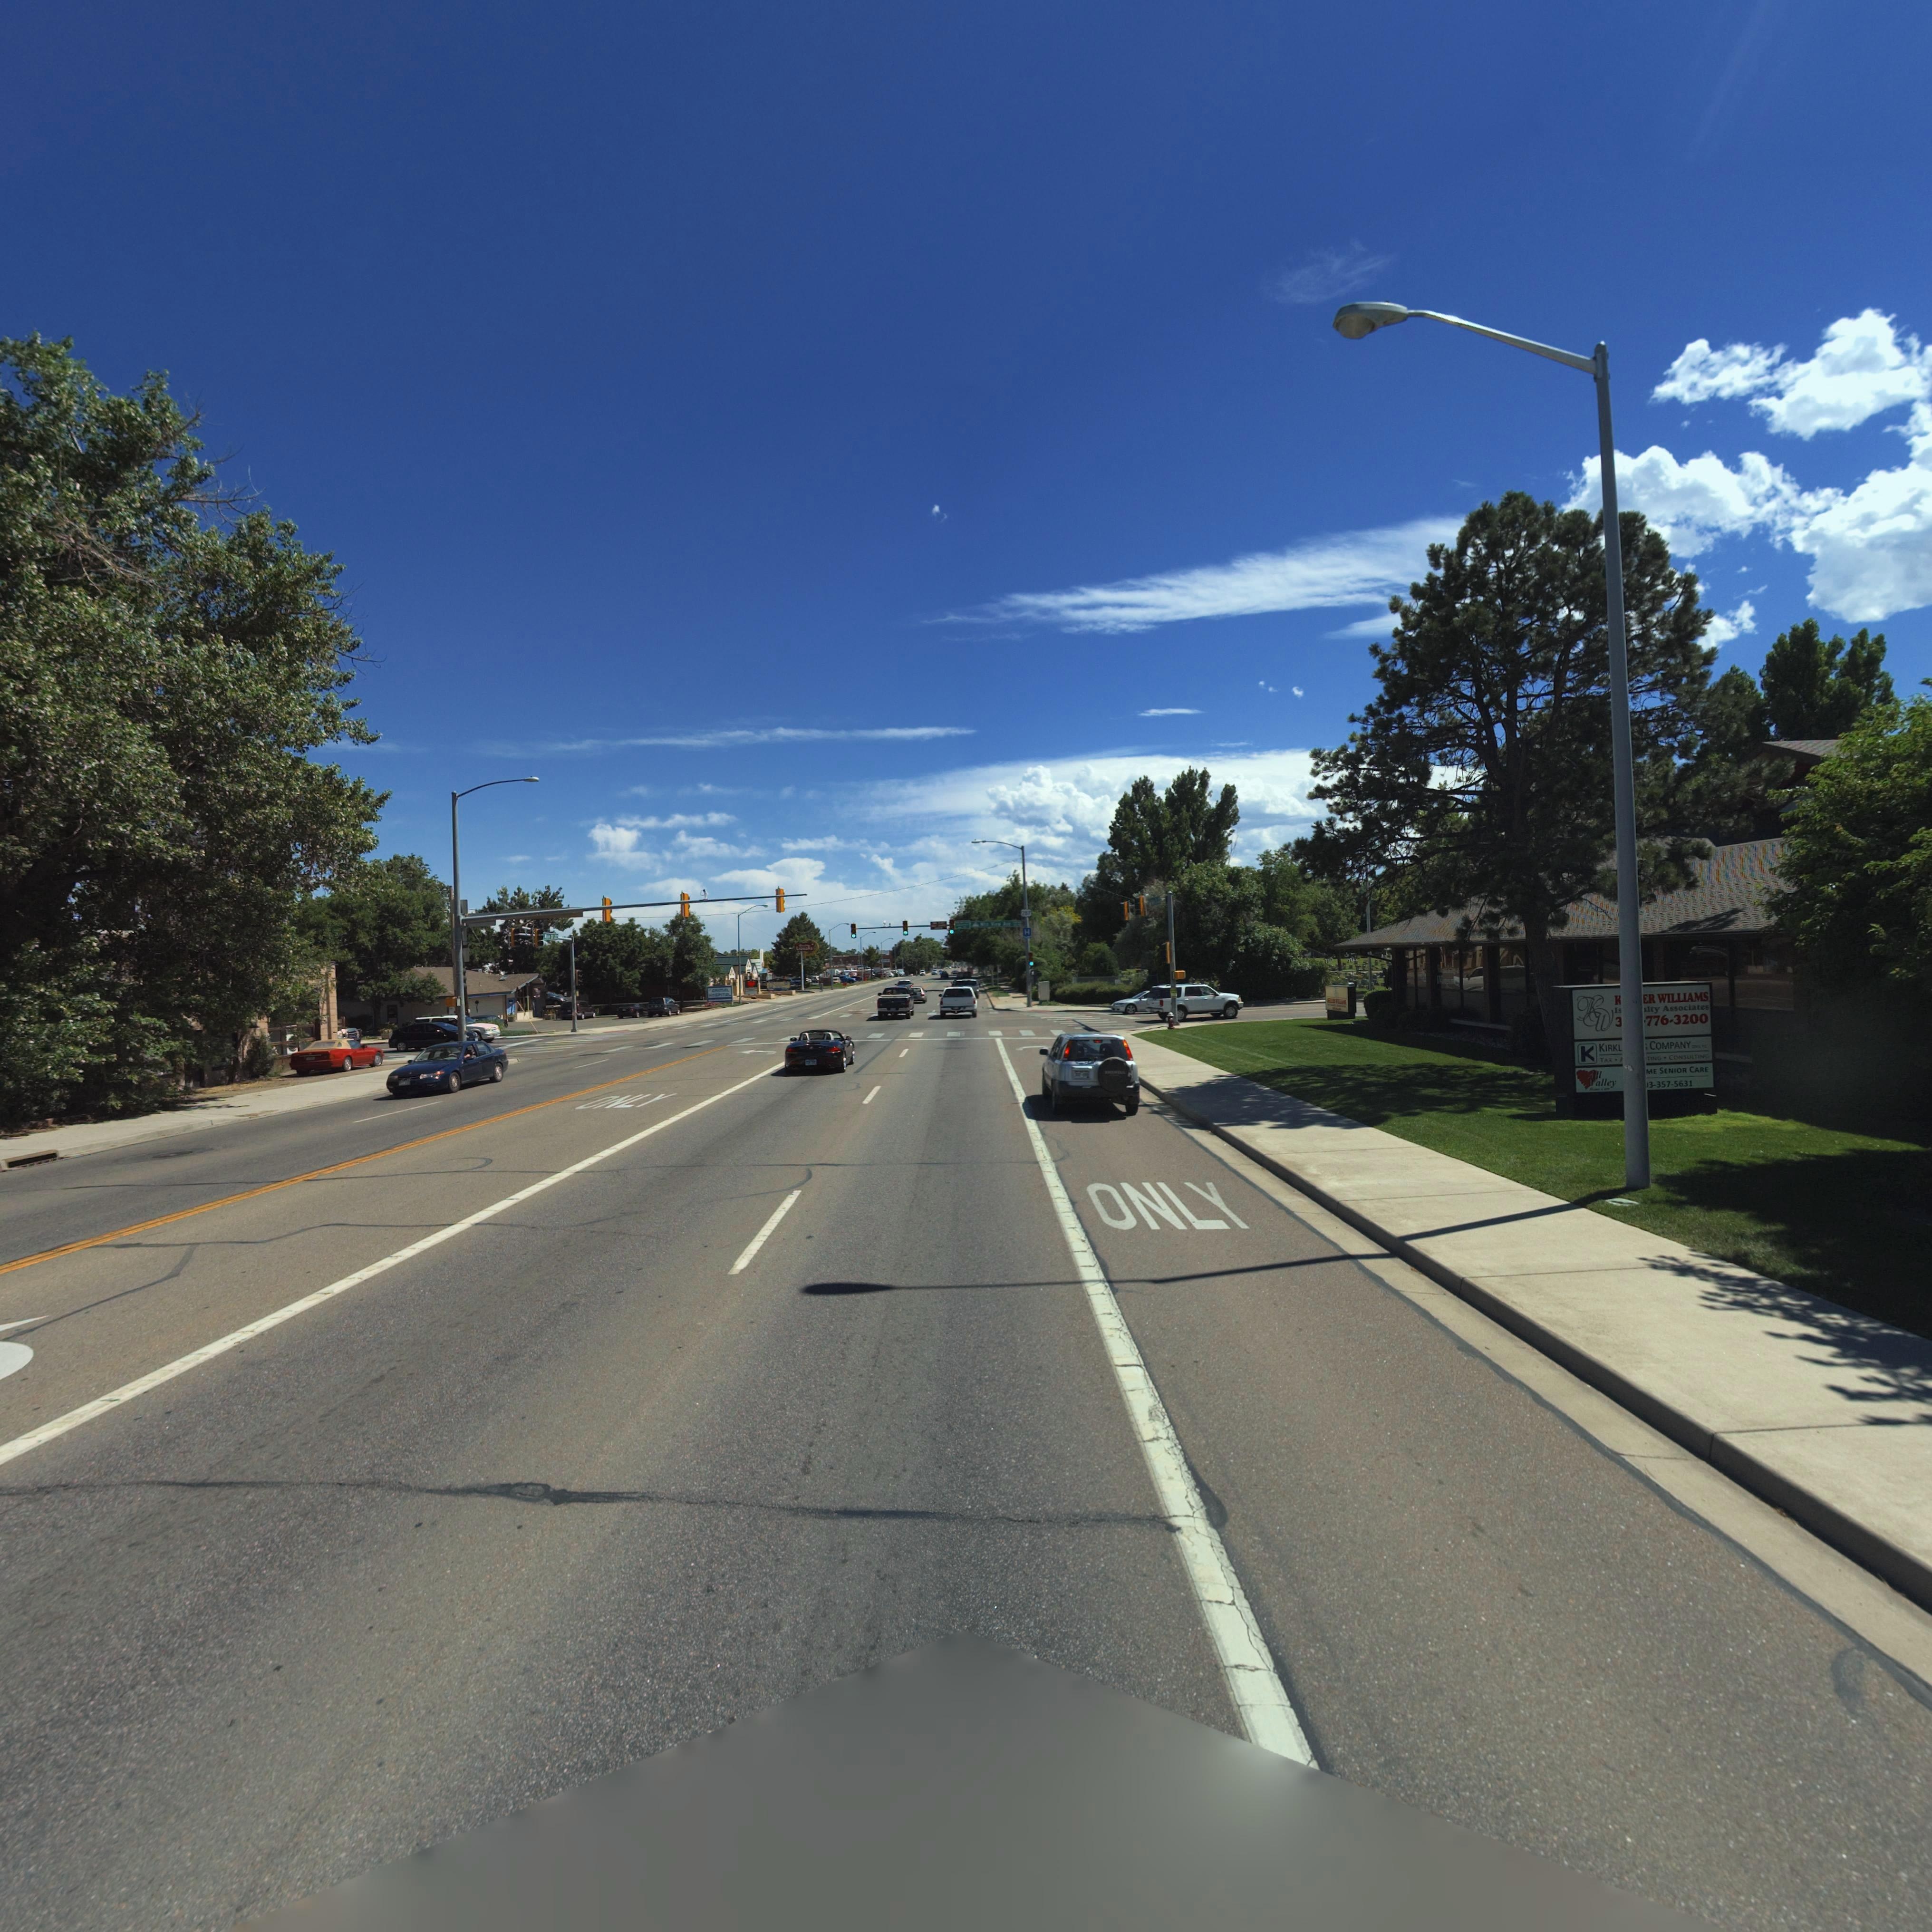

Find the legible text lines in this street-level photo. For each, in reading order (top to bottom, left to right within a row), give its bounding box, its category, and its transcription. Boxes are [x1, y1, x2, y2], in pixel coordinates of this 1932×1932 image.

[980, 921, 1010, 926] StreetName: *t* V*** ***
[1614, 991, 1708, 1005] BusinessName: K***ER WILLIAMS
[1599, 1040, 1691, 1052] BusinessName: KIRKL*** COMPANY
[1587, 1071, 1602, 1078] BusinessName: All
[1590, 1078, 1617, 1088] BusinessName: Valley